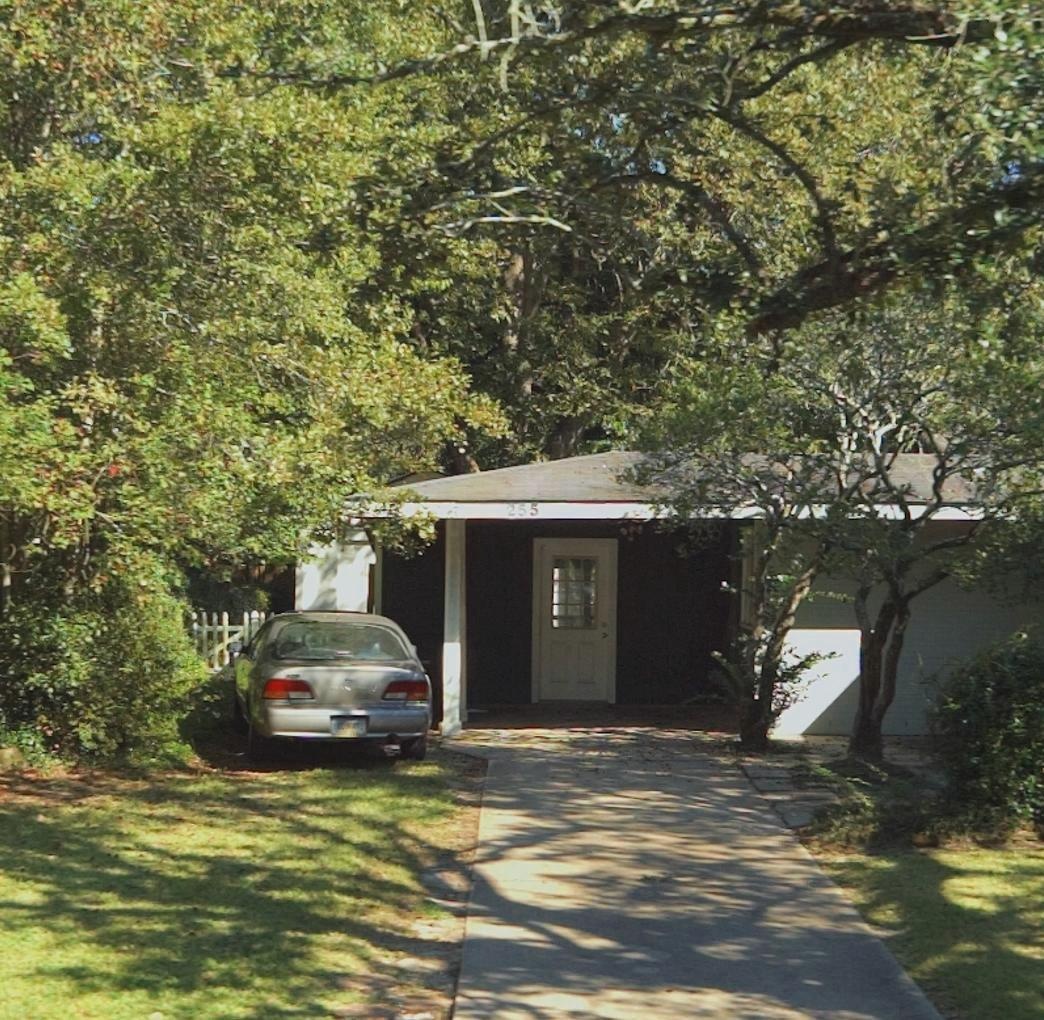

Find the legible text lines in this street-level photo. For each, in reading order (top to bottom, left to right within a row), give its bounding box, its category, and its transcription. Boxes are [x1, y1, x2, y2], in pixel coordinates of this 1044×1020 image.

[506, 502, 539, 517] StreetNumber: 255